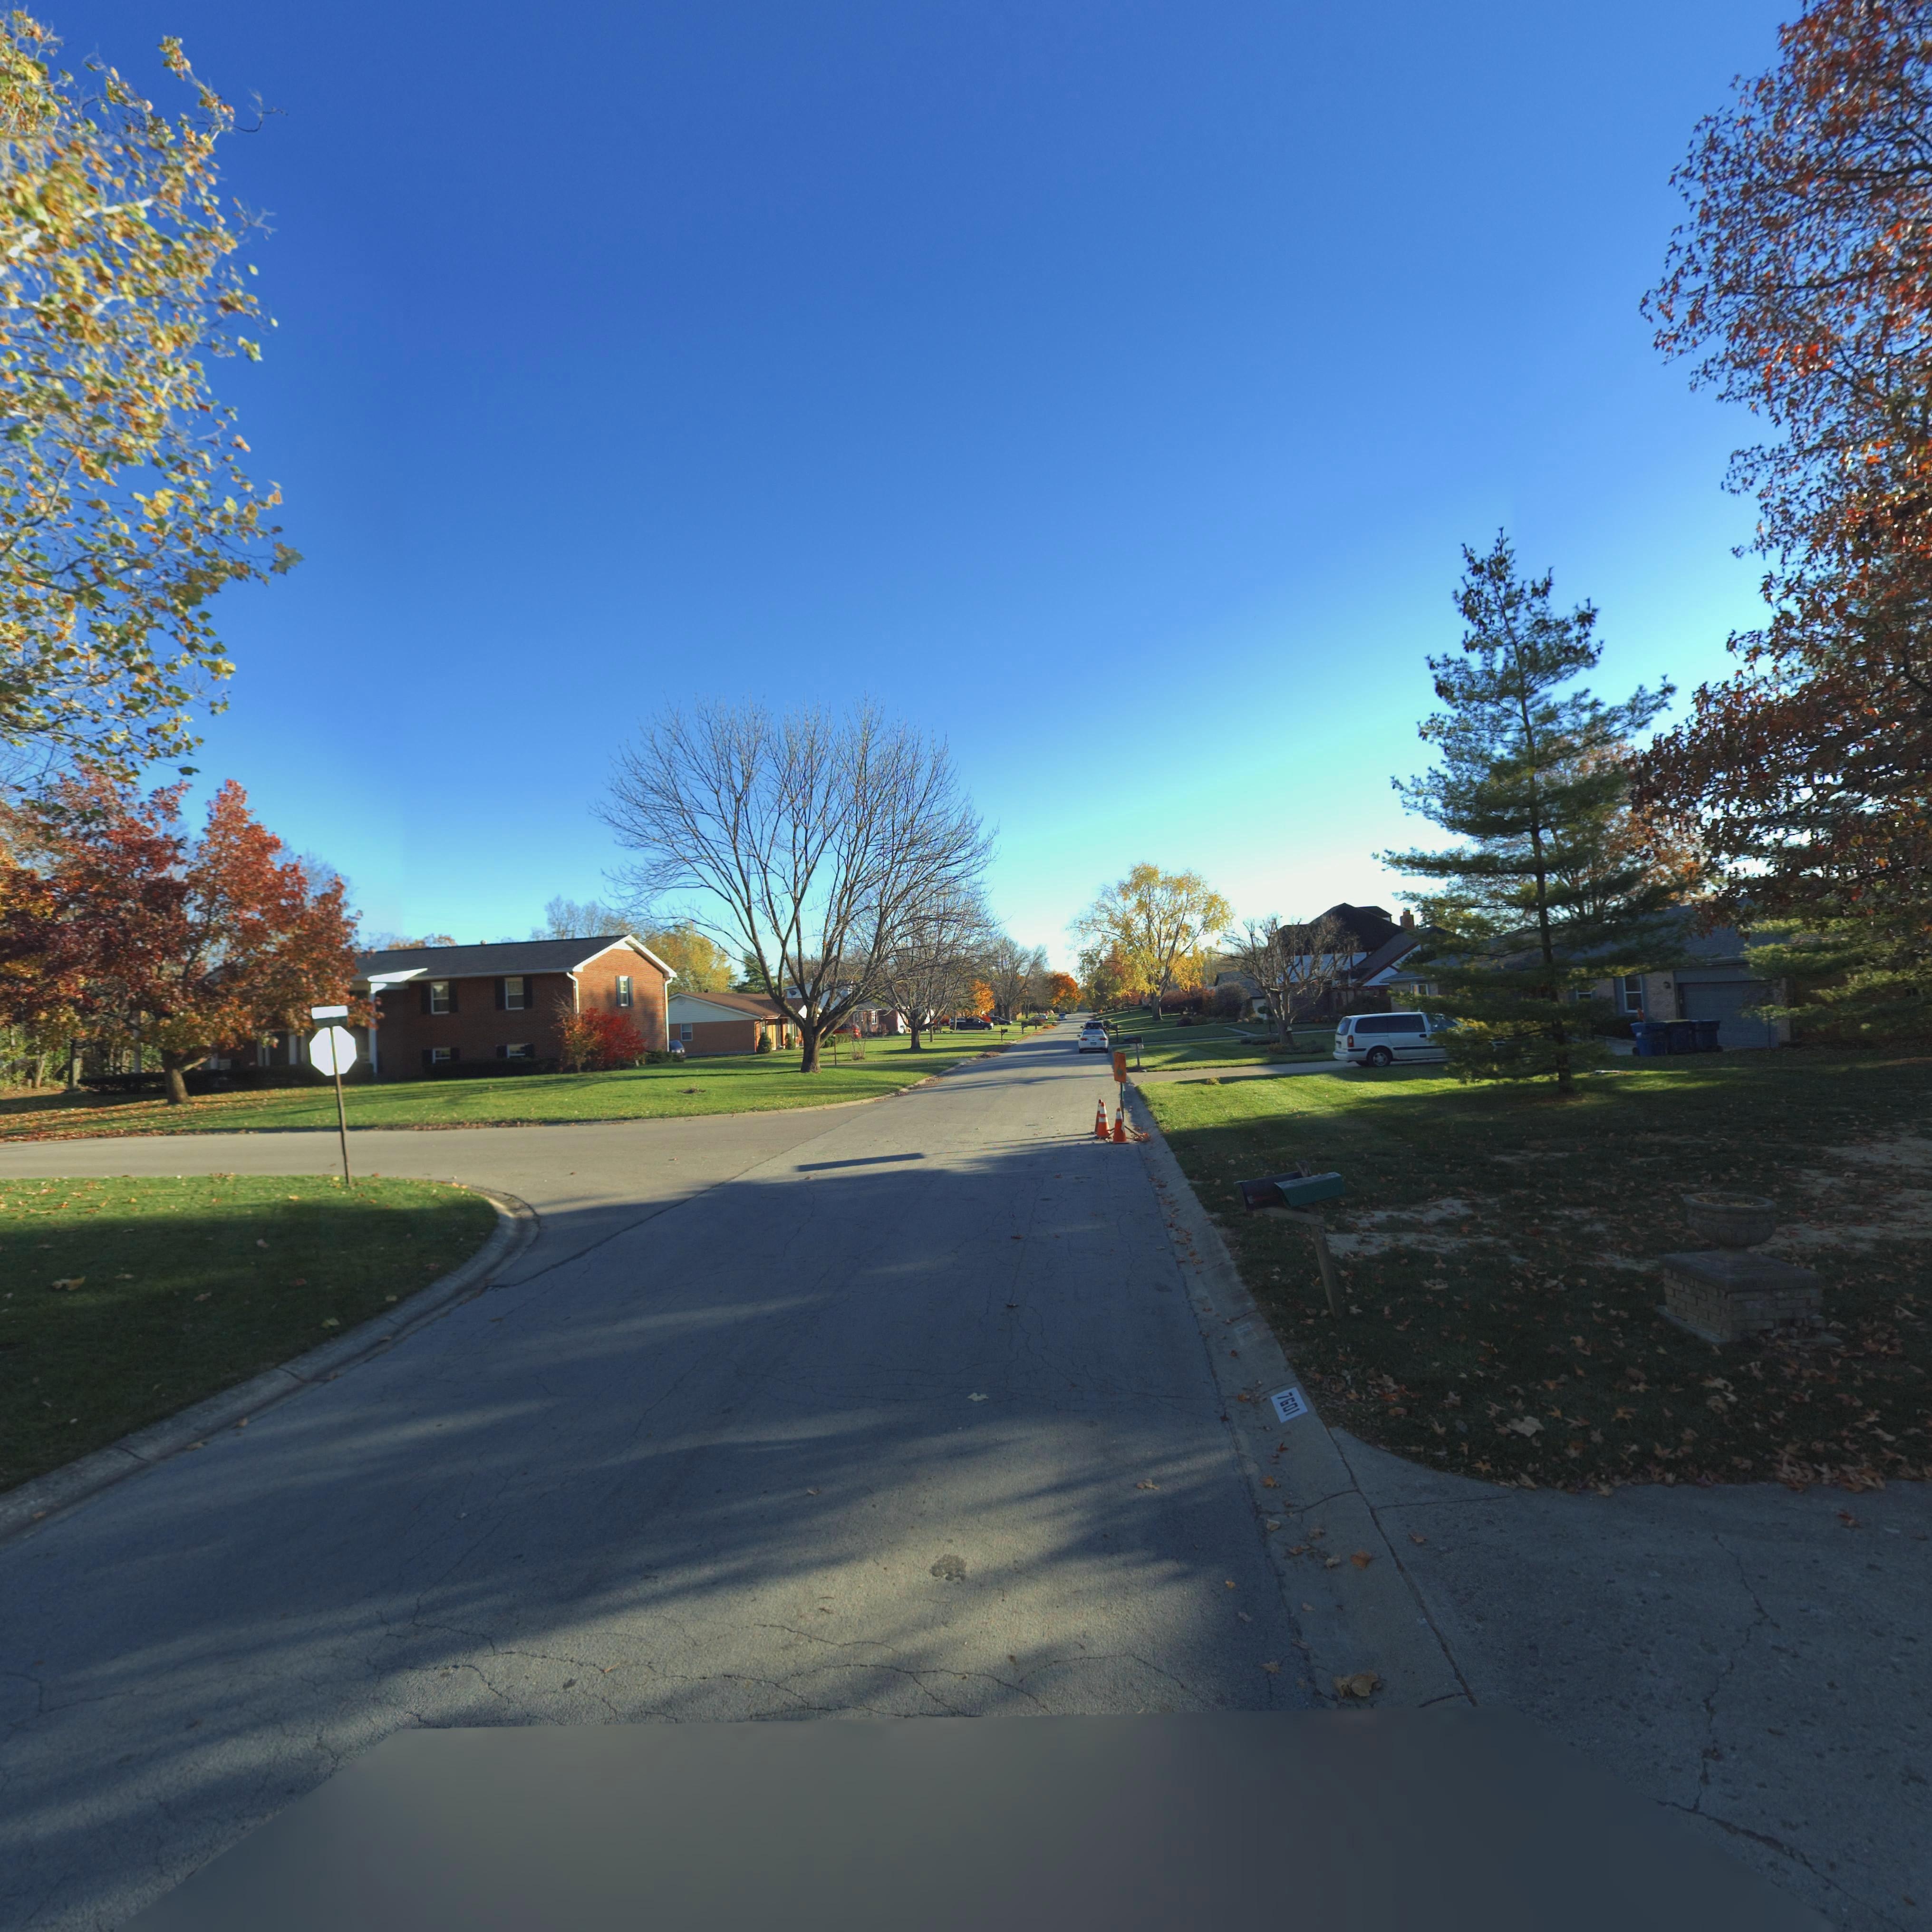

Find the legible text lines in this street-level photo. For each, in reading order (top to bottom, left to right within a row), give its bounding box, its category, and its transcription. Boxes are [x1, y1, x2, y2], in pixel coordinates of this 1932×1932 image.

[1235, 1322, 1258, 1343] StreetNumber: 7***
[1277, 1389, 1302, 1418] StreetNumber: 7601